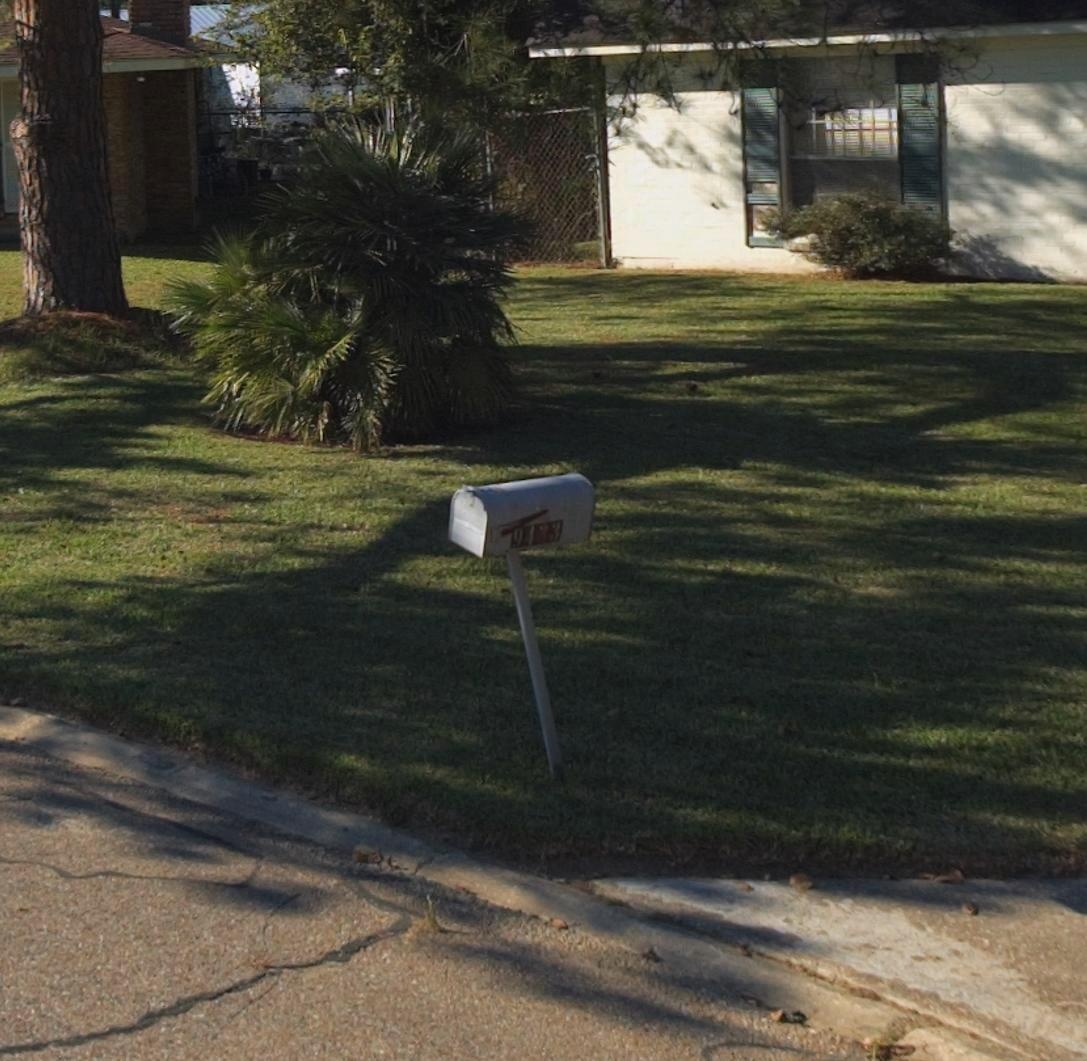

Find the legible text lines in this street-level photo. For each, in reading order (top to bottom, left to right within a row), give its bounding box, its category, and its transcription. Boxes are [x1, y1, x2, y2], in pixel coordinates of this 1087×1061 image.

[510, 521, 562, 549] StreetNumber: 9433